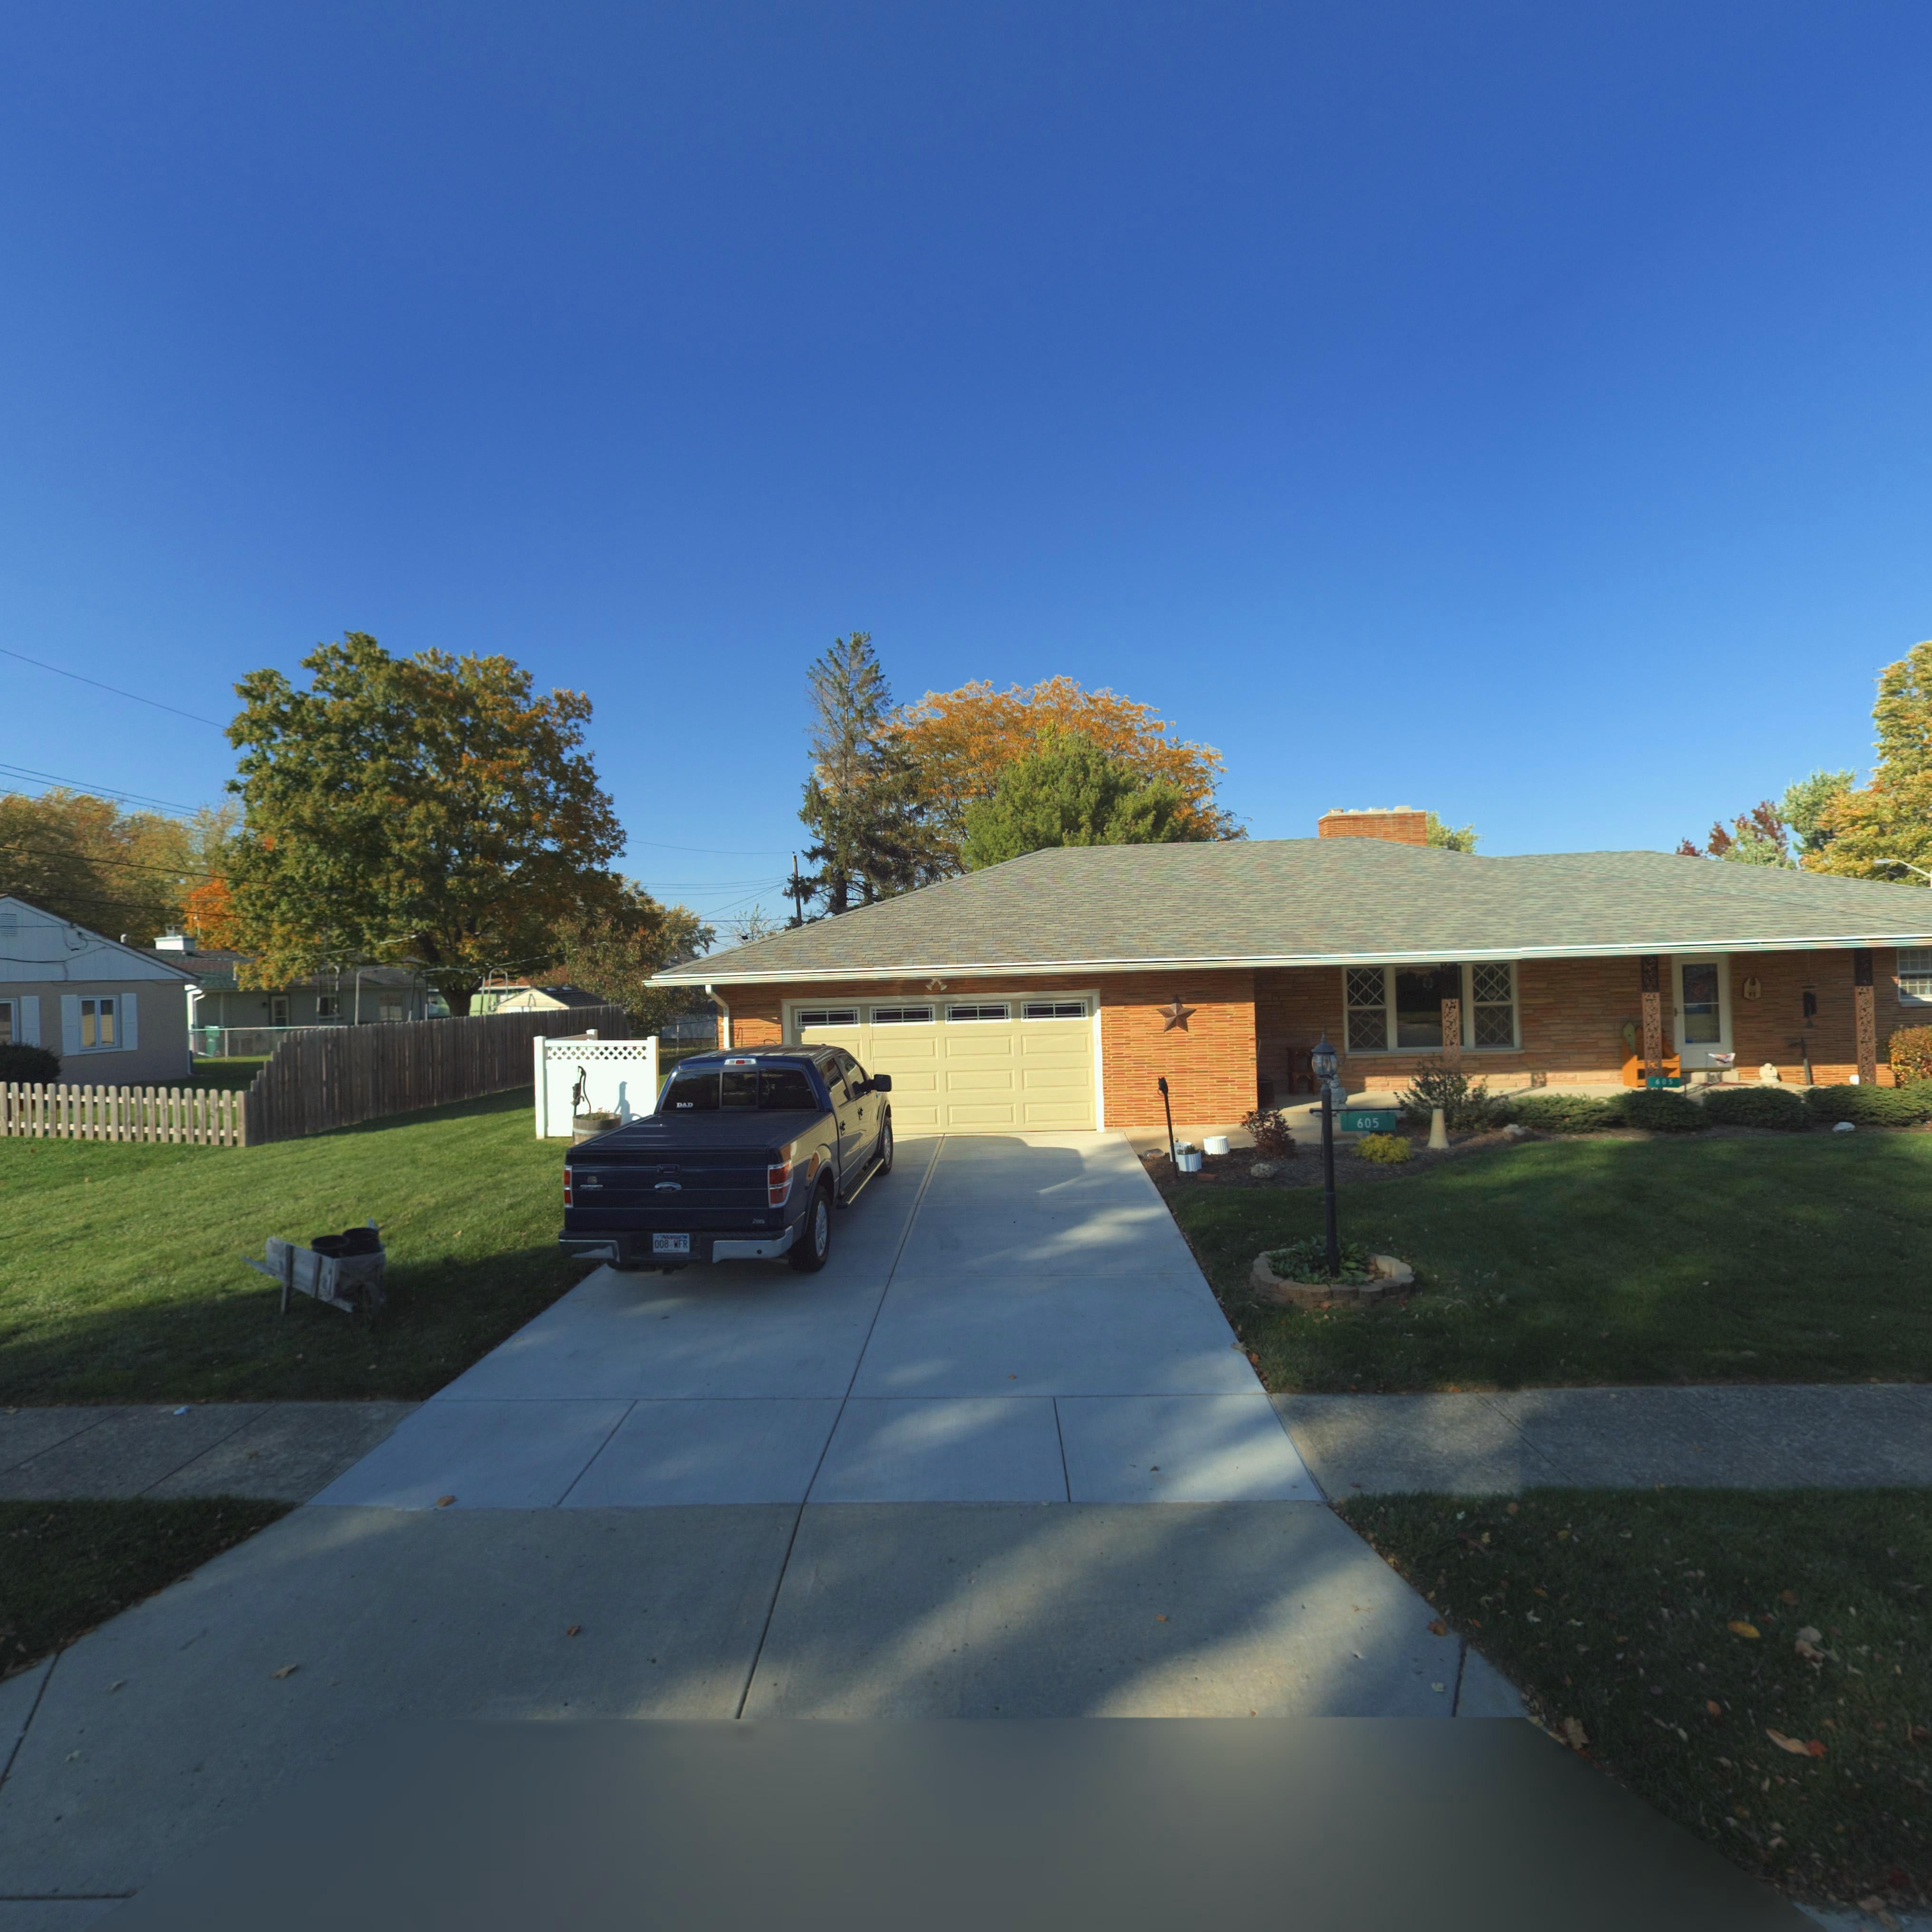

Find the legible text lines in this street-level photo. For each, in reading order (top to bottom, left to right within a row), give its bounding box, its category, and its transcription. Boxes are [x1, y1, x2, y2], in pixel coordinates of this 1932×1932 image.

[1655, 1078, 1673, 1086] StreetNumber: 605
[1356, 1117, 1380, 1129] StreetNumber: 605